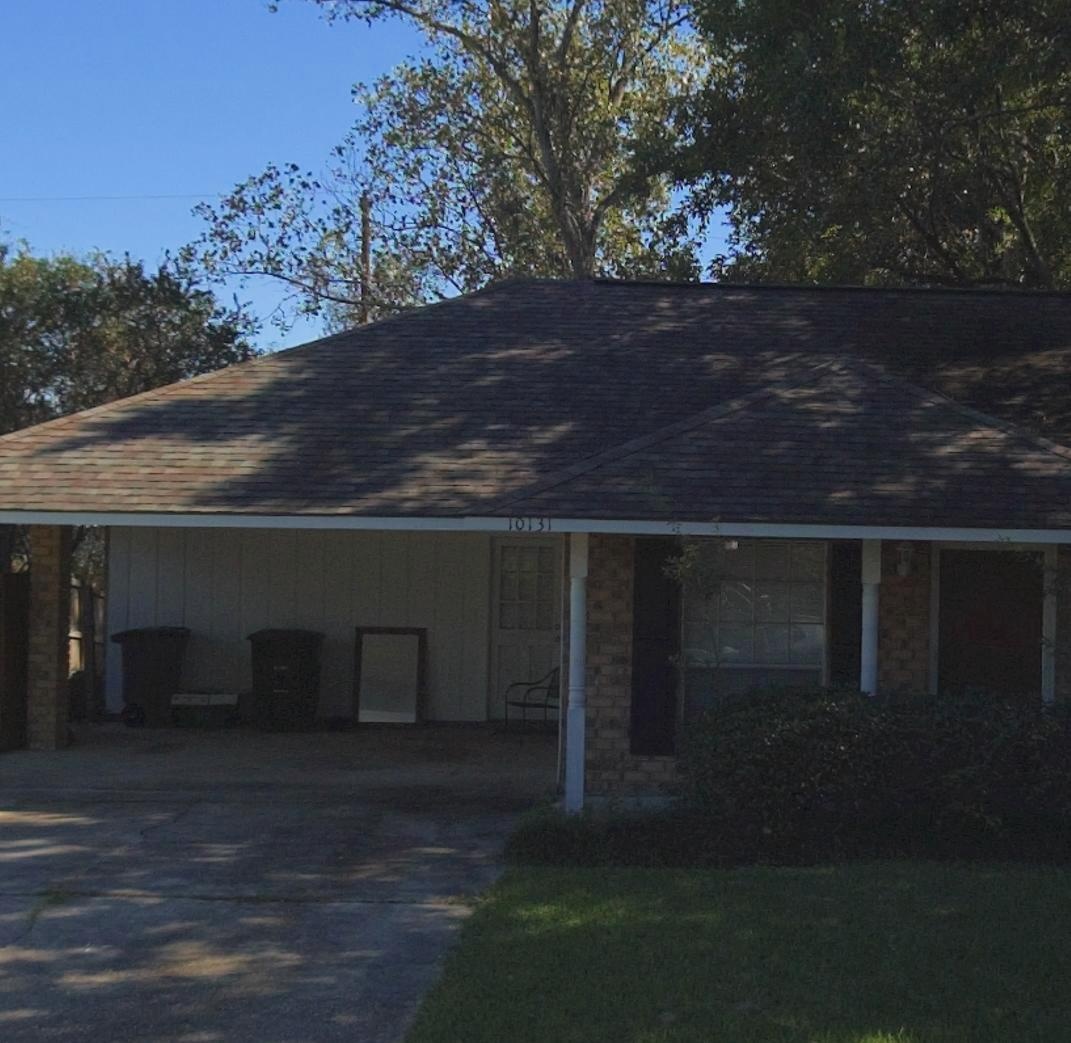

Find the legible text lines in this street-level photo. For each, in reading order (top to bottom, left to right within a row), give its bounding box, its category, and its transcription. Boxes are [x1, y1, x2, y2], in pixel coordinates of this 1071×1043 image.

[506, 517, 553, 532] StreetNumber: 10131